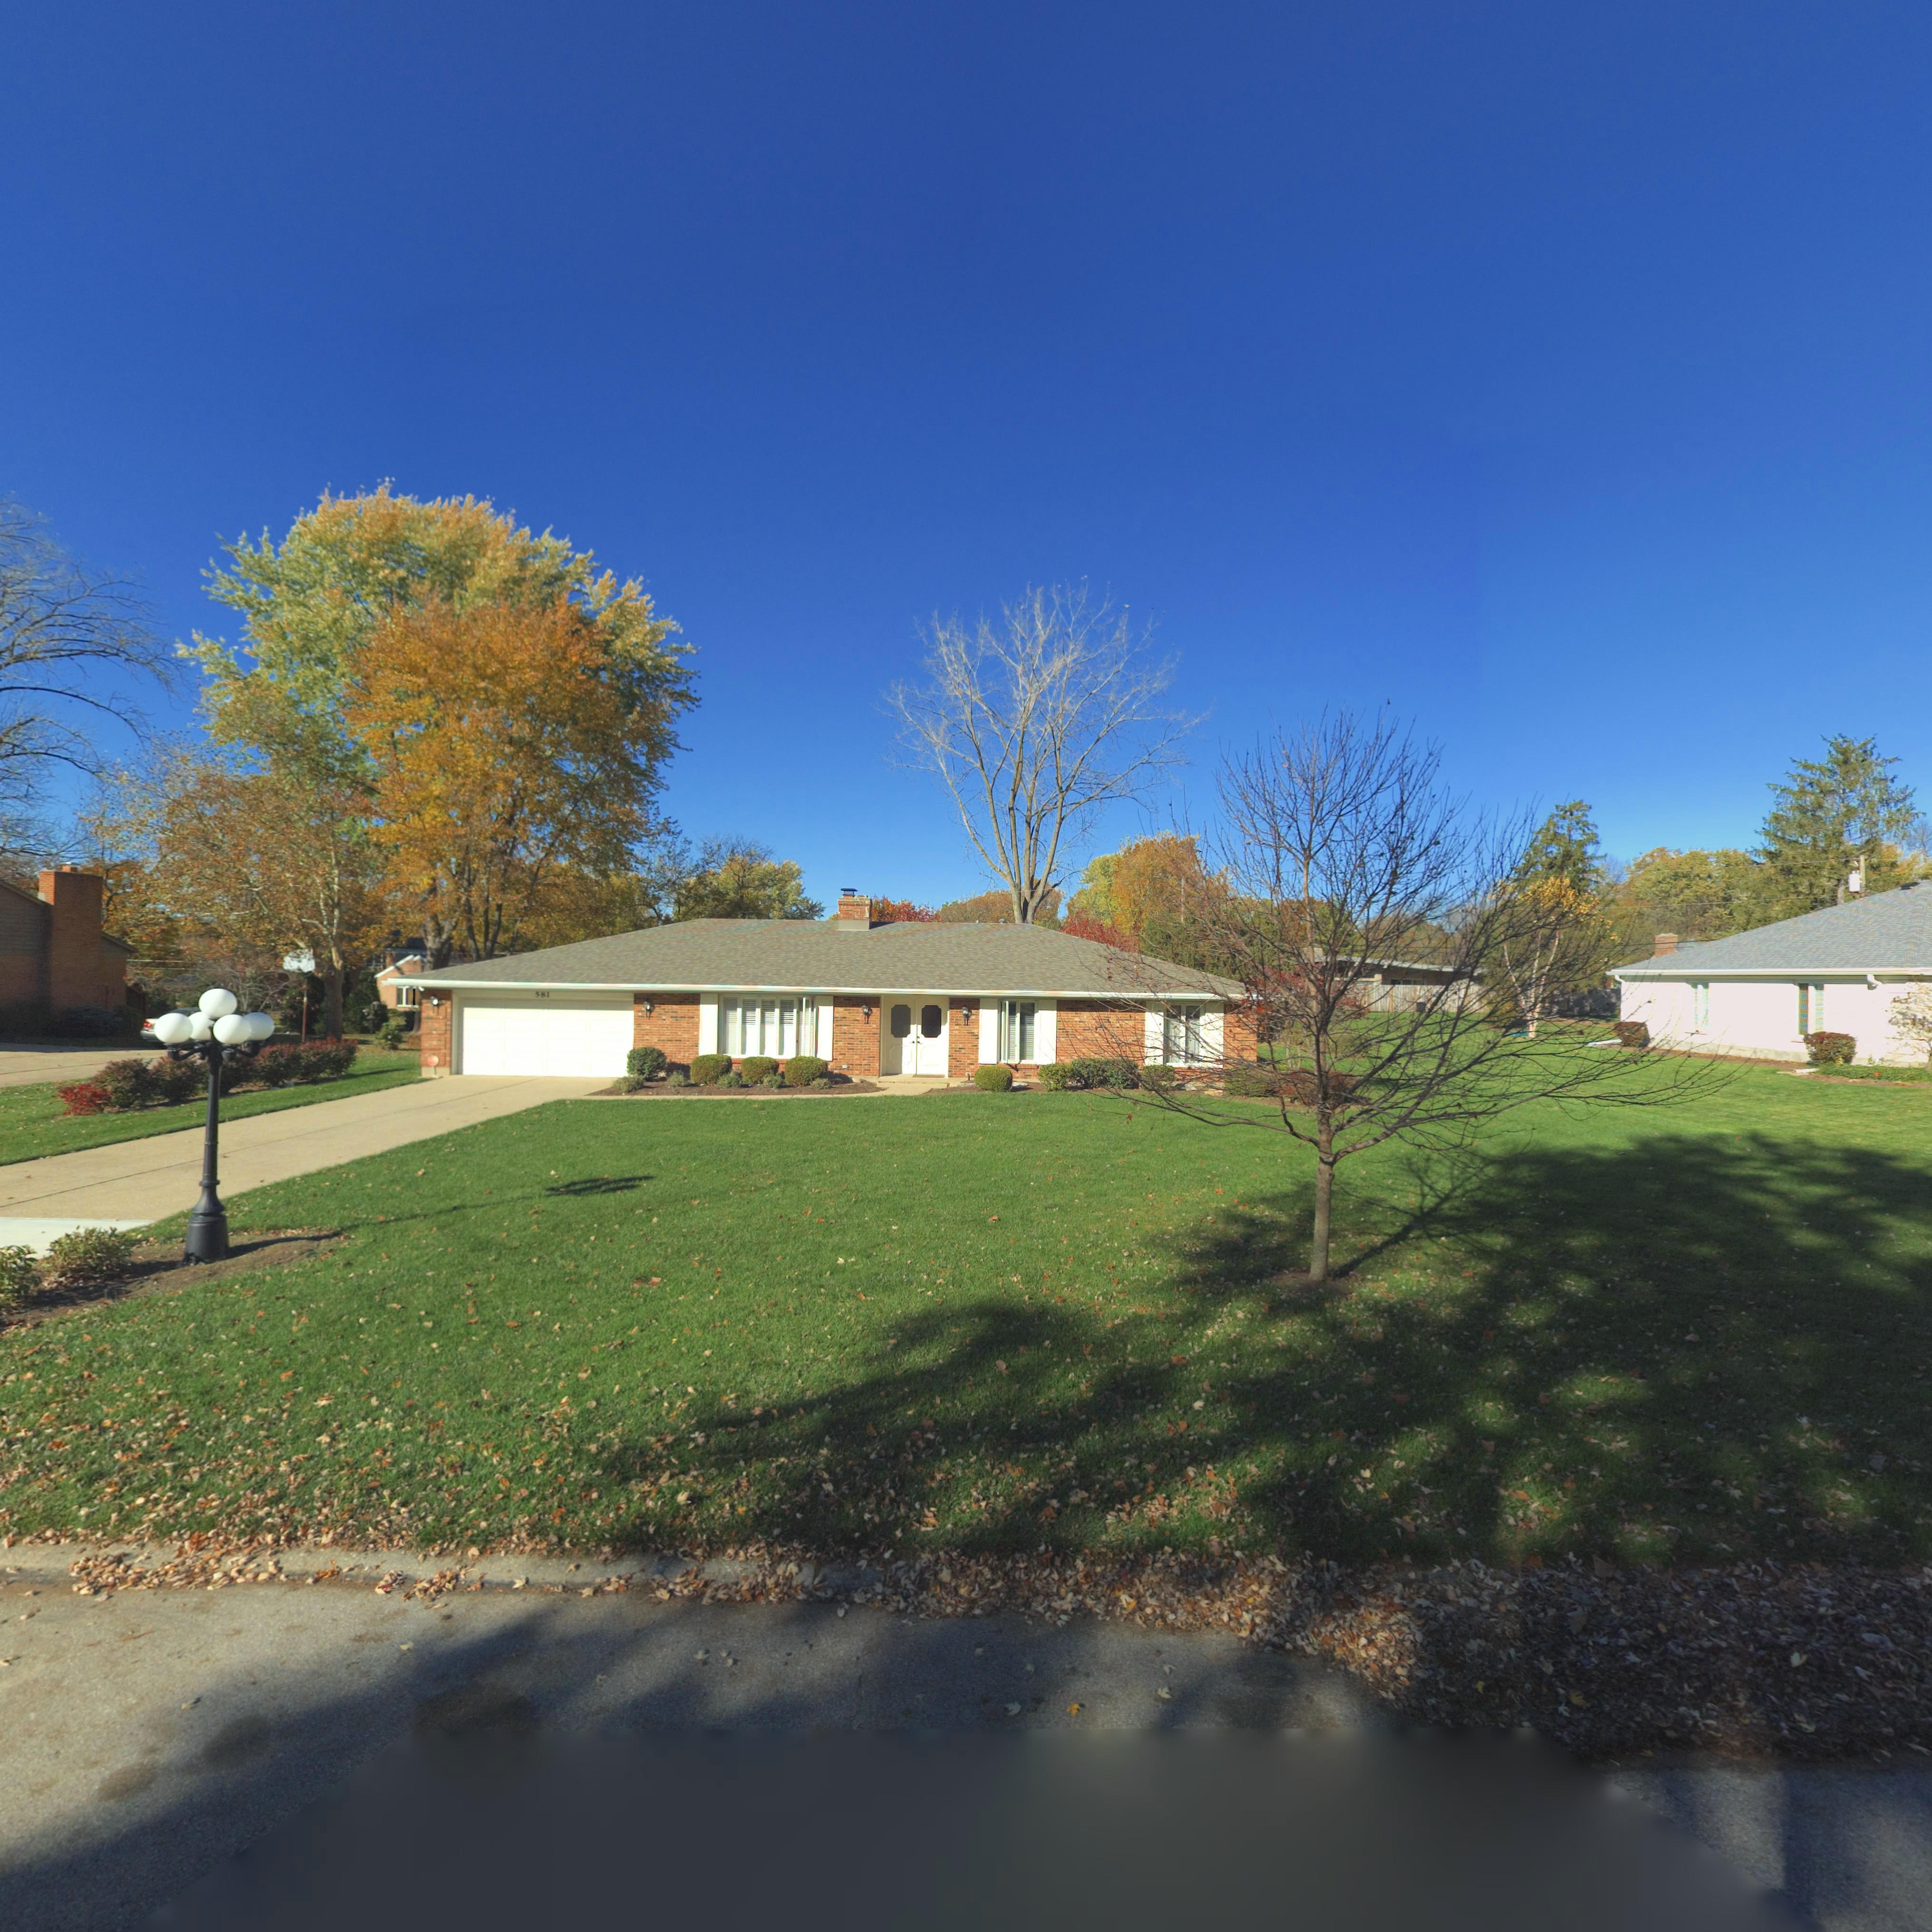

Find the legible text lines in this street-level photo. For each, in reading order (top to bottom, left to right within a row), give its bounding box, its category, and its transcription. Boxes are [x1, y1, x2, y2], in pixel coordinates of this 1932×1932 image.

[535, 990, 550, 998] StreetNumber: 581